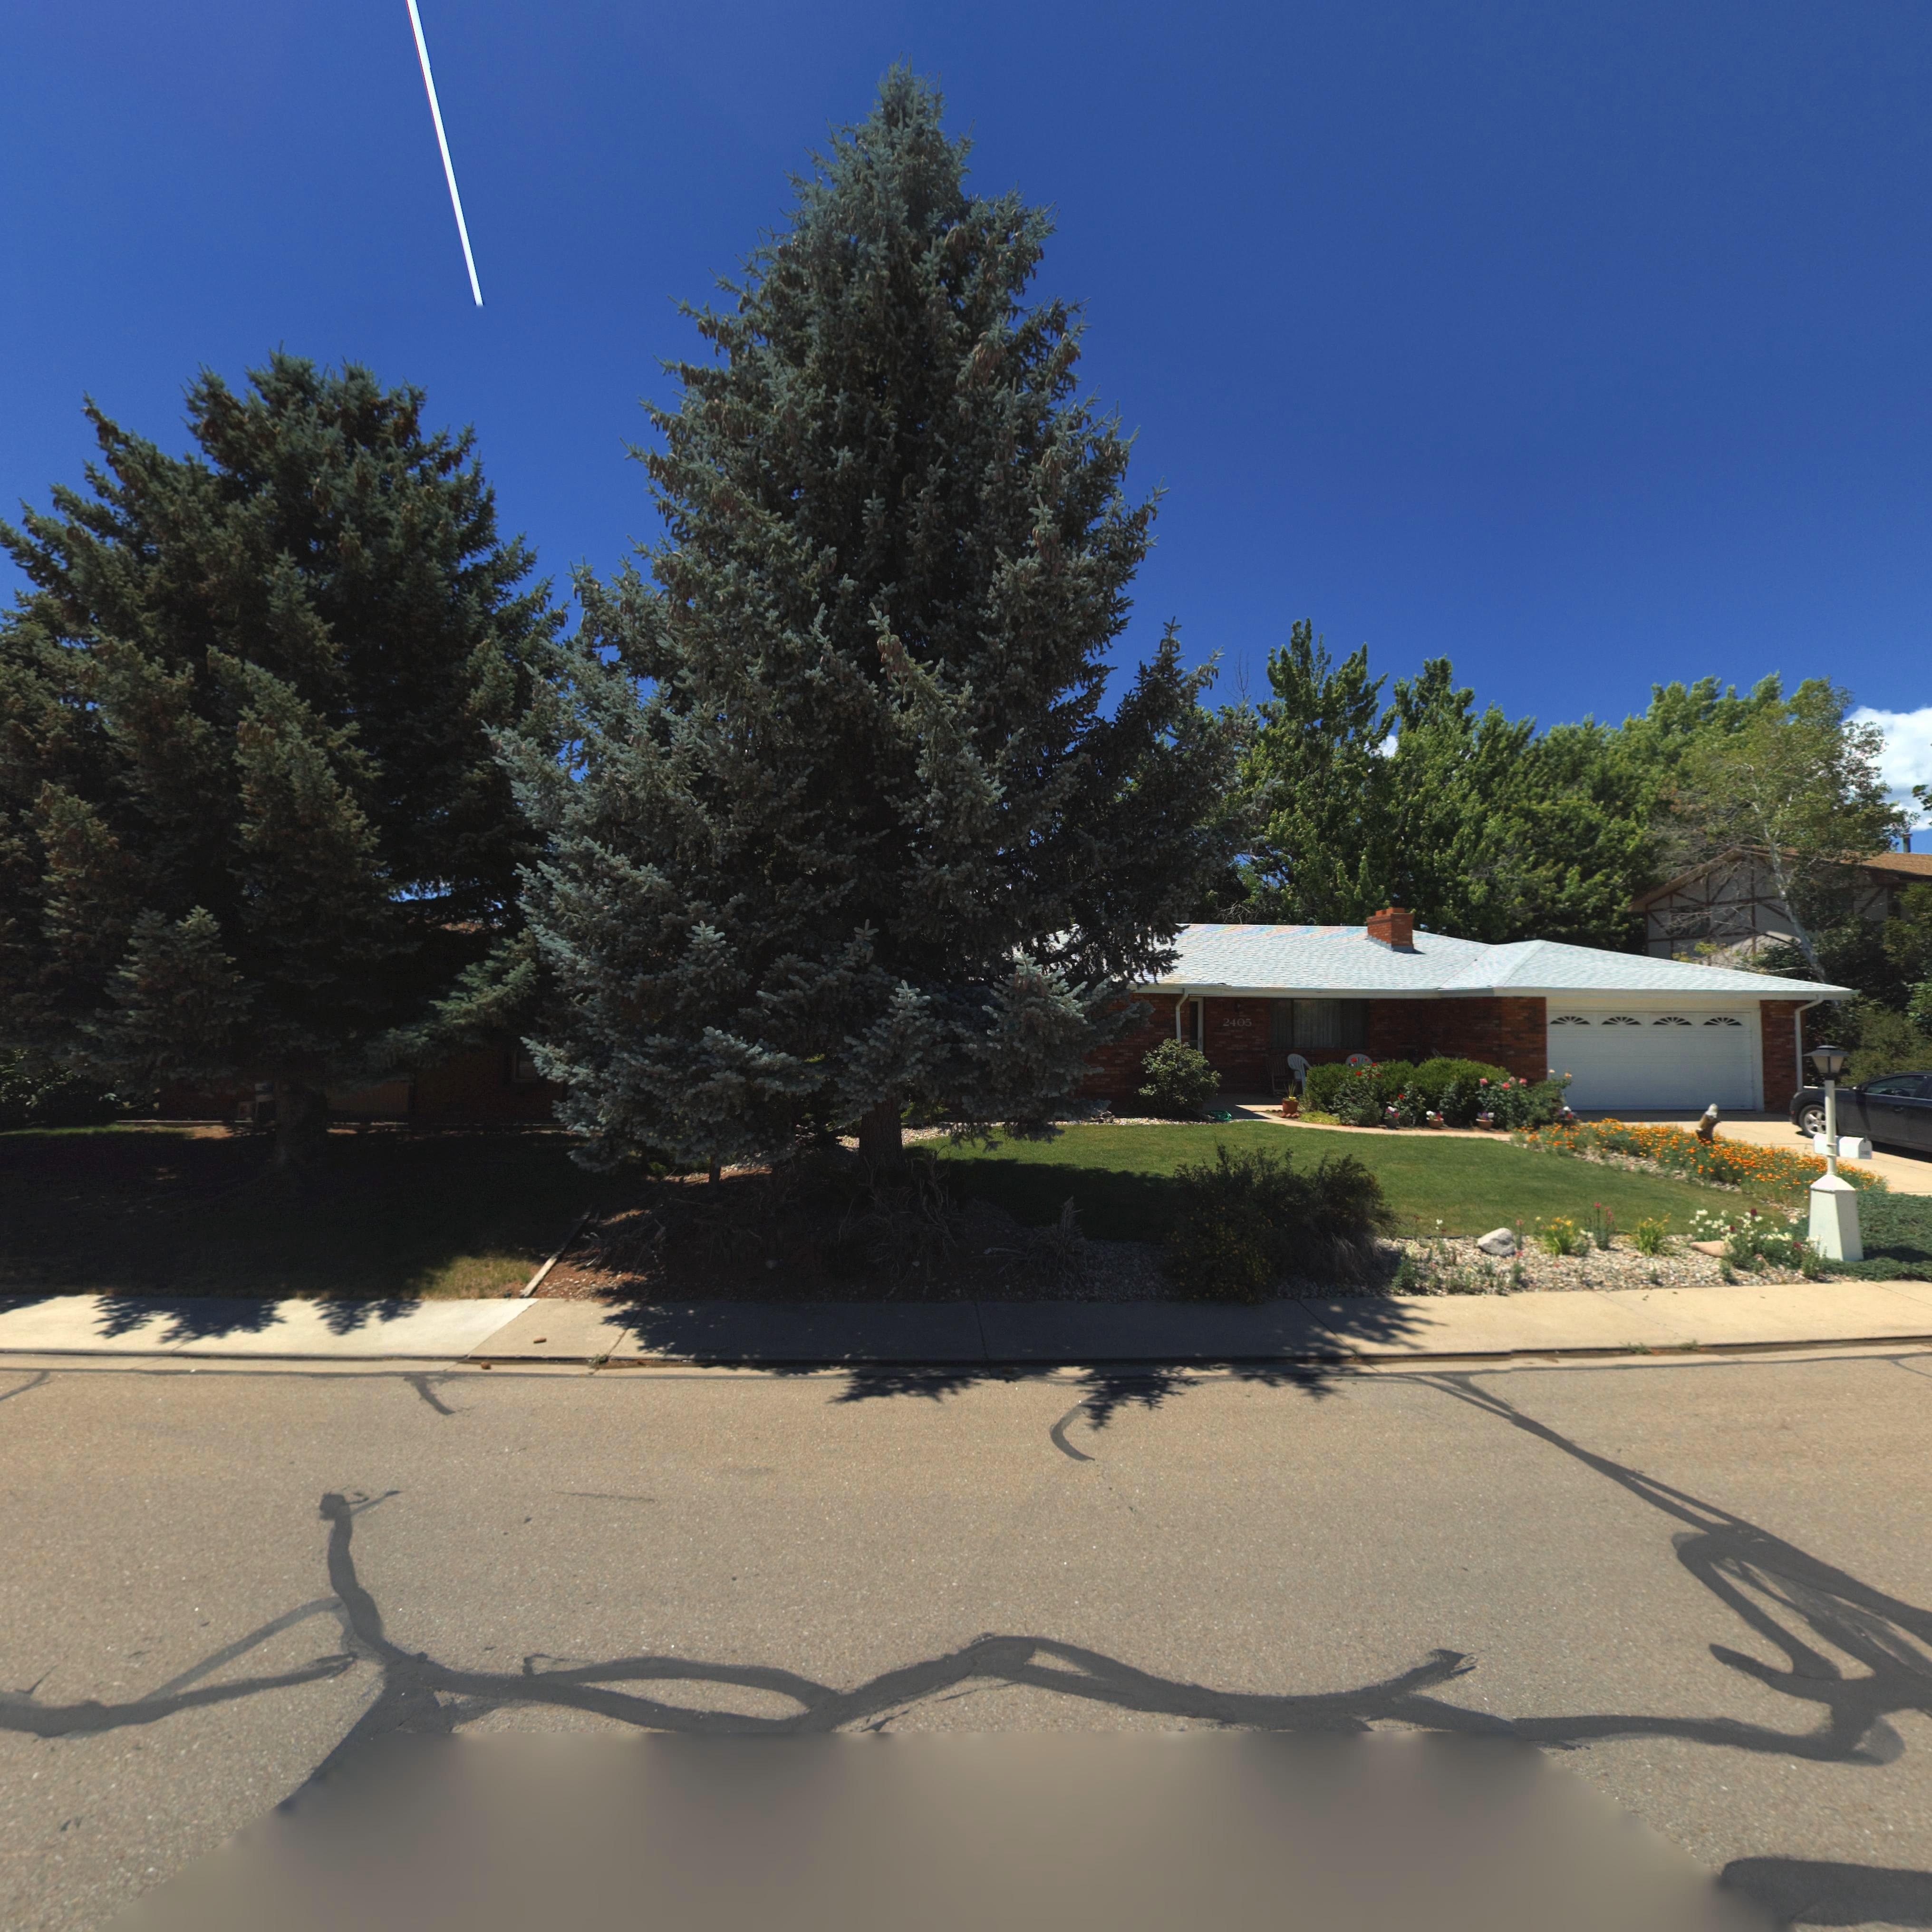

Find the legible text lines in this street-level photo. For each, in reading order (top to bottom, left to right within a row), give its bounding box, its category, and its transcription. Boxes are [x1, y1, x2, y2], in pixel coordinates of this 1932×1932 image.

[1222, 1018, 1252, 1027] StreetNumber: 2405